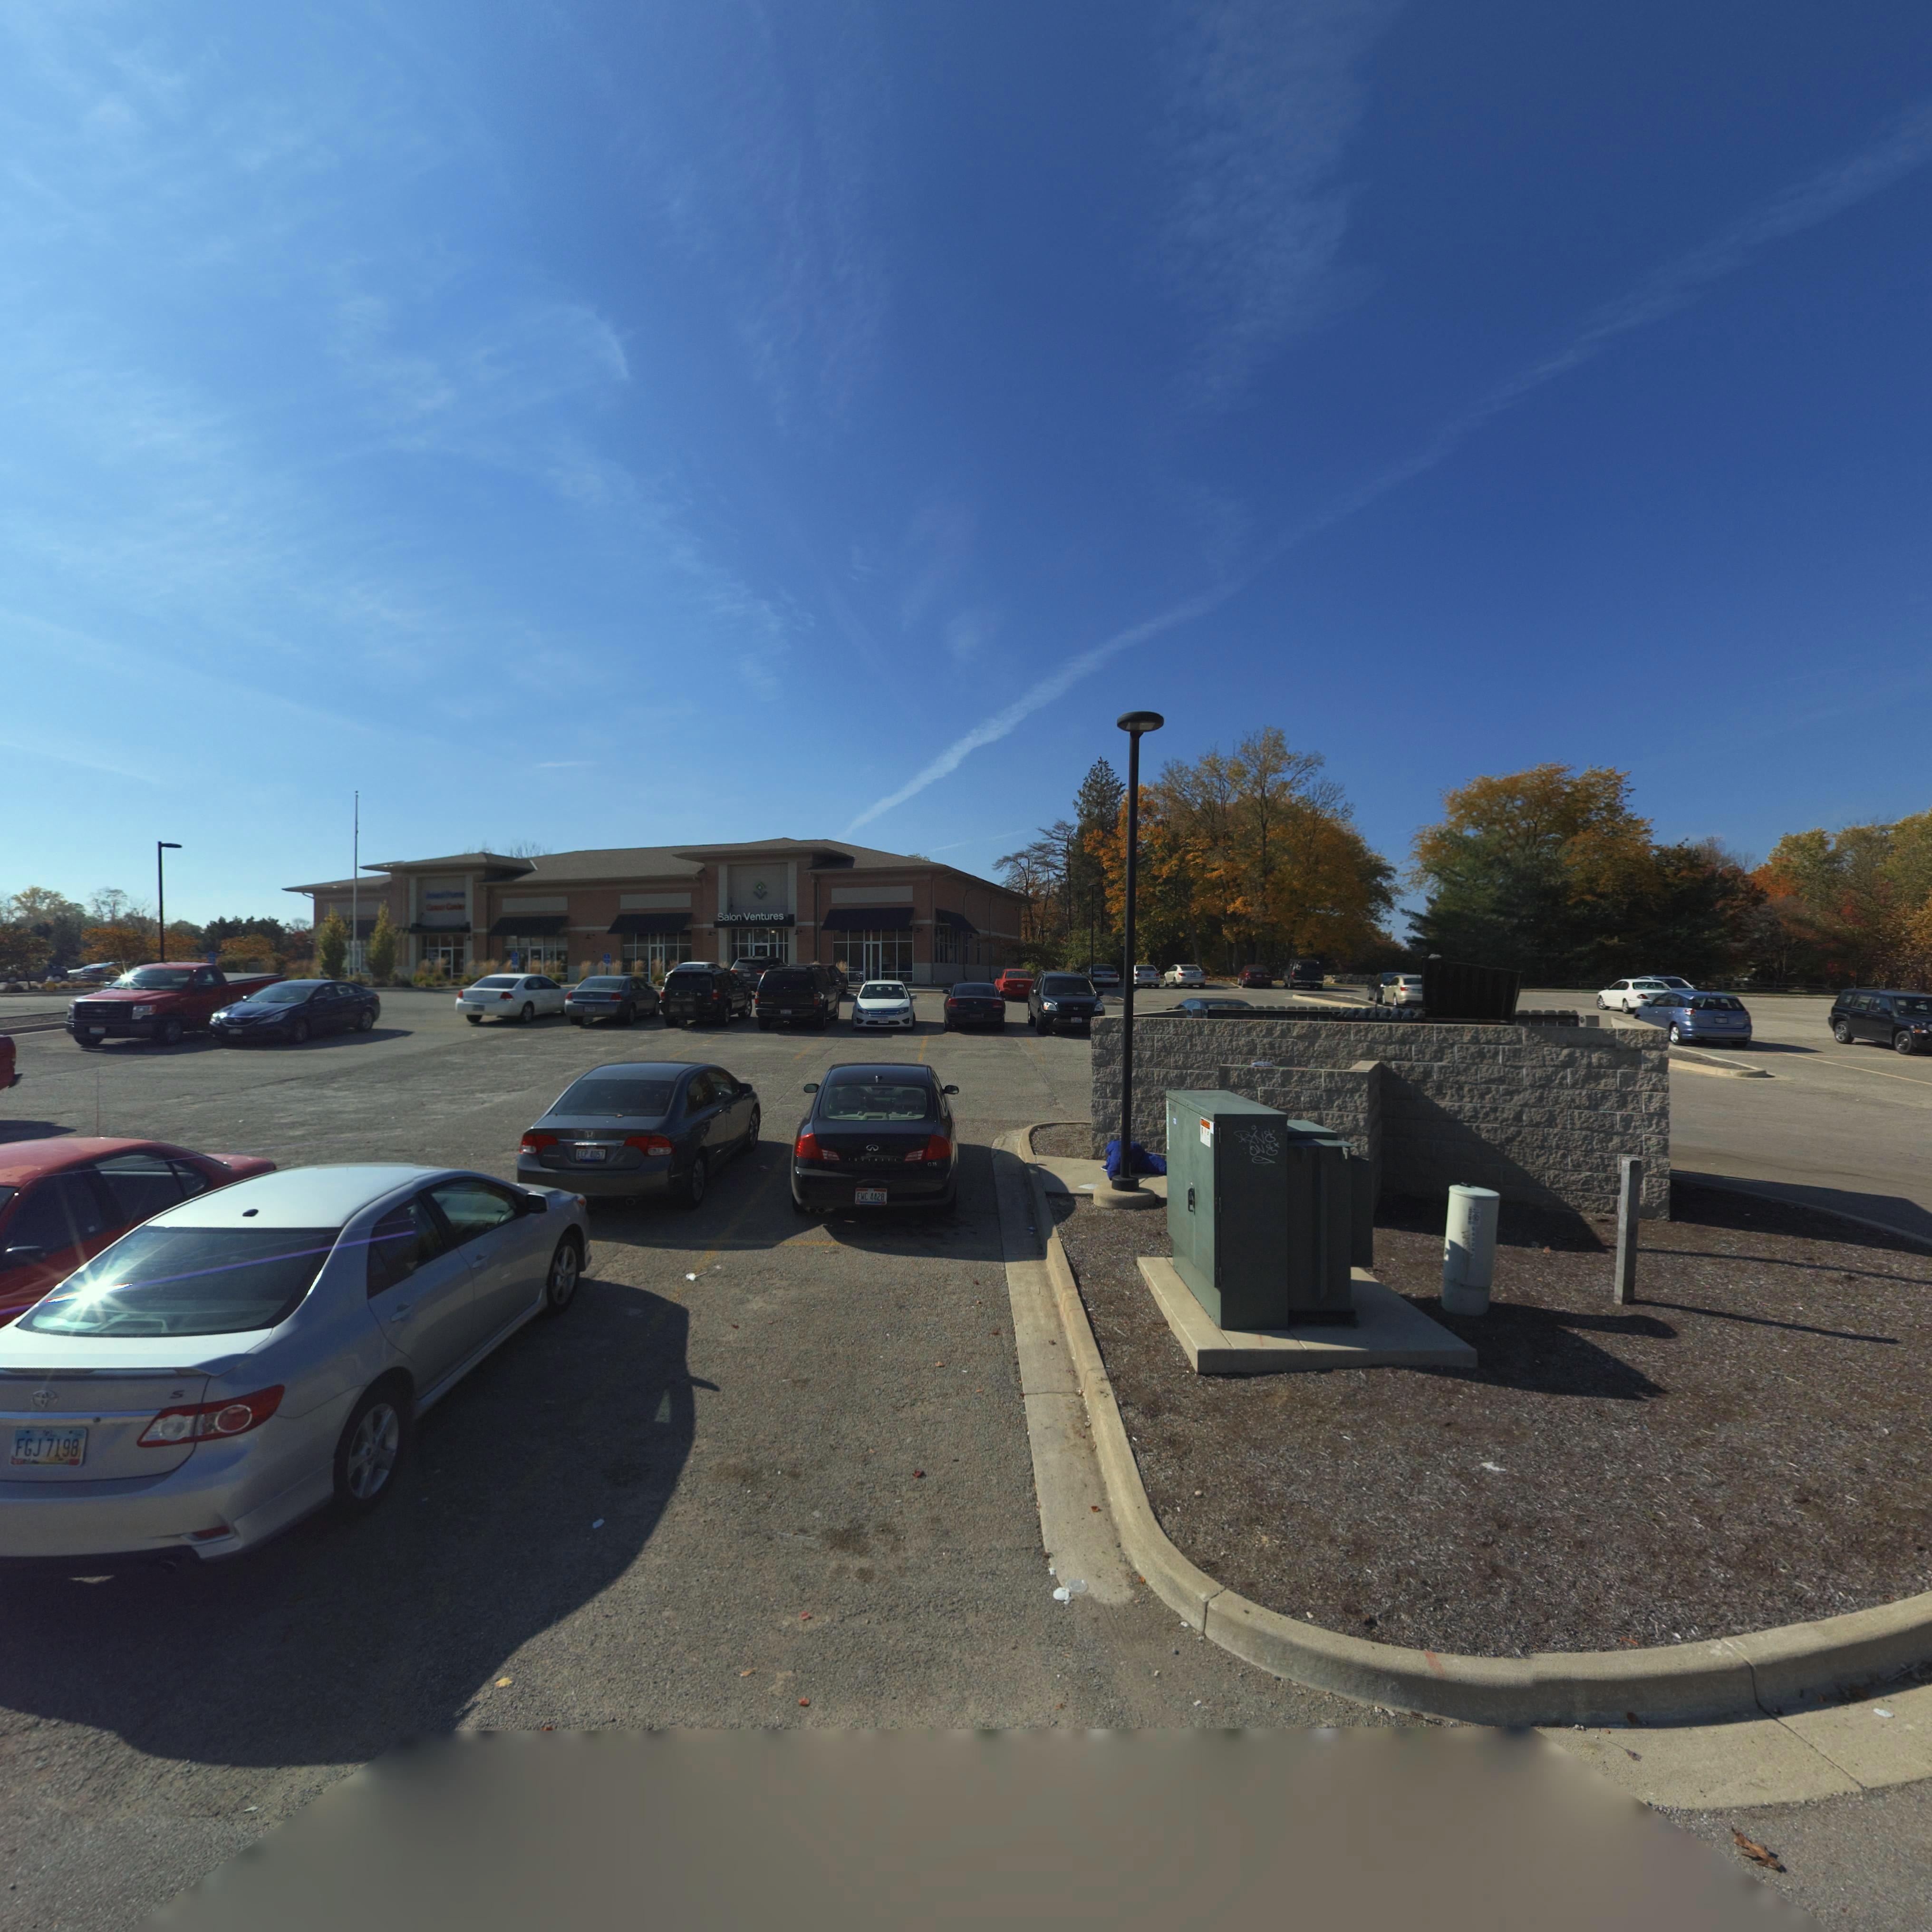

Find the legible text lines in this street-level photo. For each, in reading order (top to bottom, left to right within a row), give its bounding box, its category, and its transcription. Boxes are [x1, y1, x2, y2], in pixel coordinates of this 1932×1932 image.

[716, 911, 785, 922] BusinessName: Salon Ventures